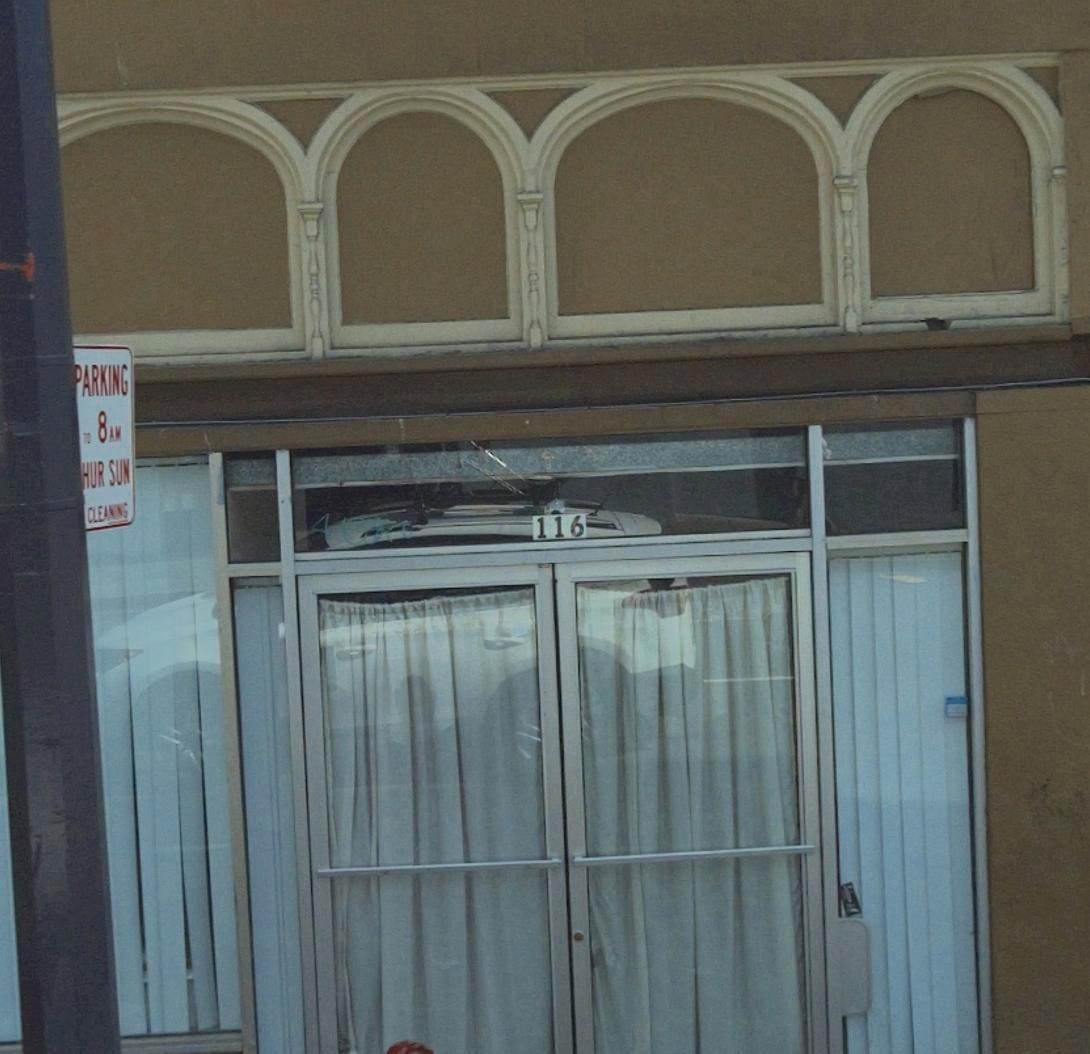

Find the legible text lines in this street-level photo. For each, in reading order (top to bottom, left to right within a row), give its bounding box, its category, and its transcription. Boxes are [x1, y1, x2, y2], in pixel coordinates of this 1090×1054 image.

[78, 359, 135, 401] None: ARKING
[80, 427, 94, 446] None: TO
[93, 407, 126, 445] None: 8AM
[81, 454, 134, 493] None: HUR SUN
[84, 497, 133, 527] None: CLEANING
[535, 512, 588, 541] StreetNumber: 116